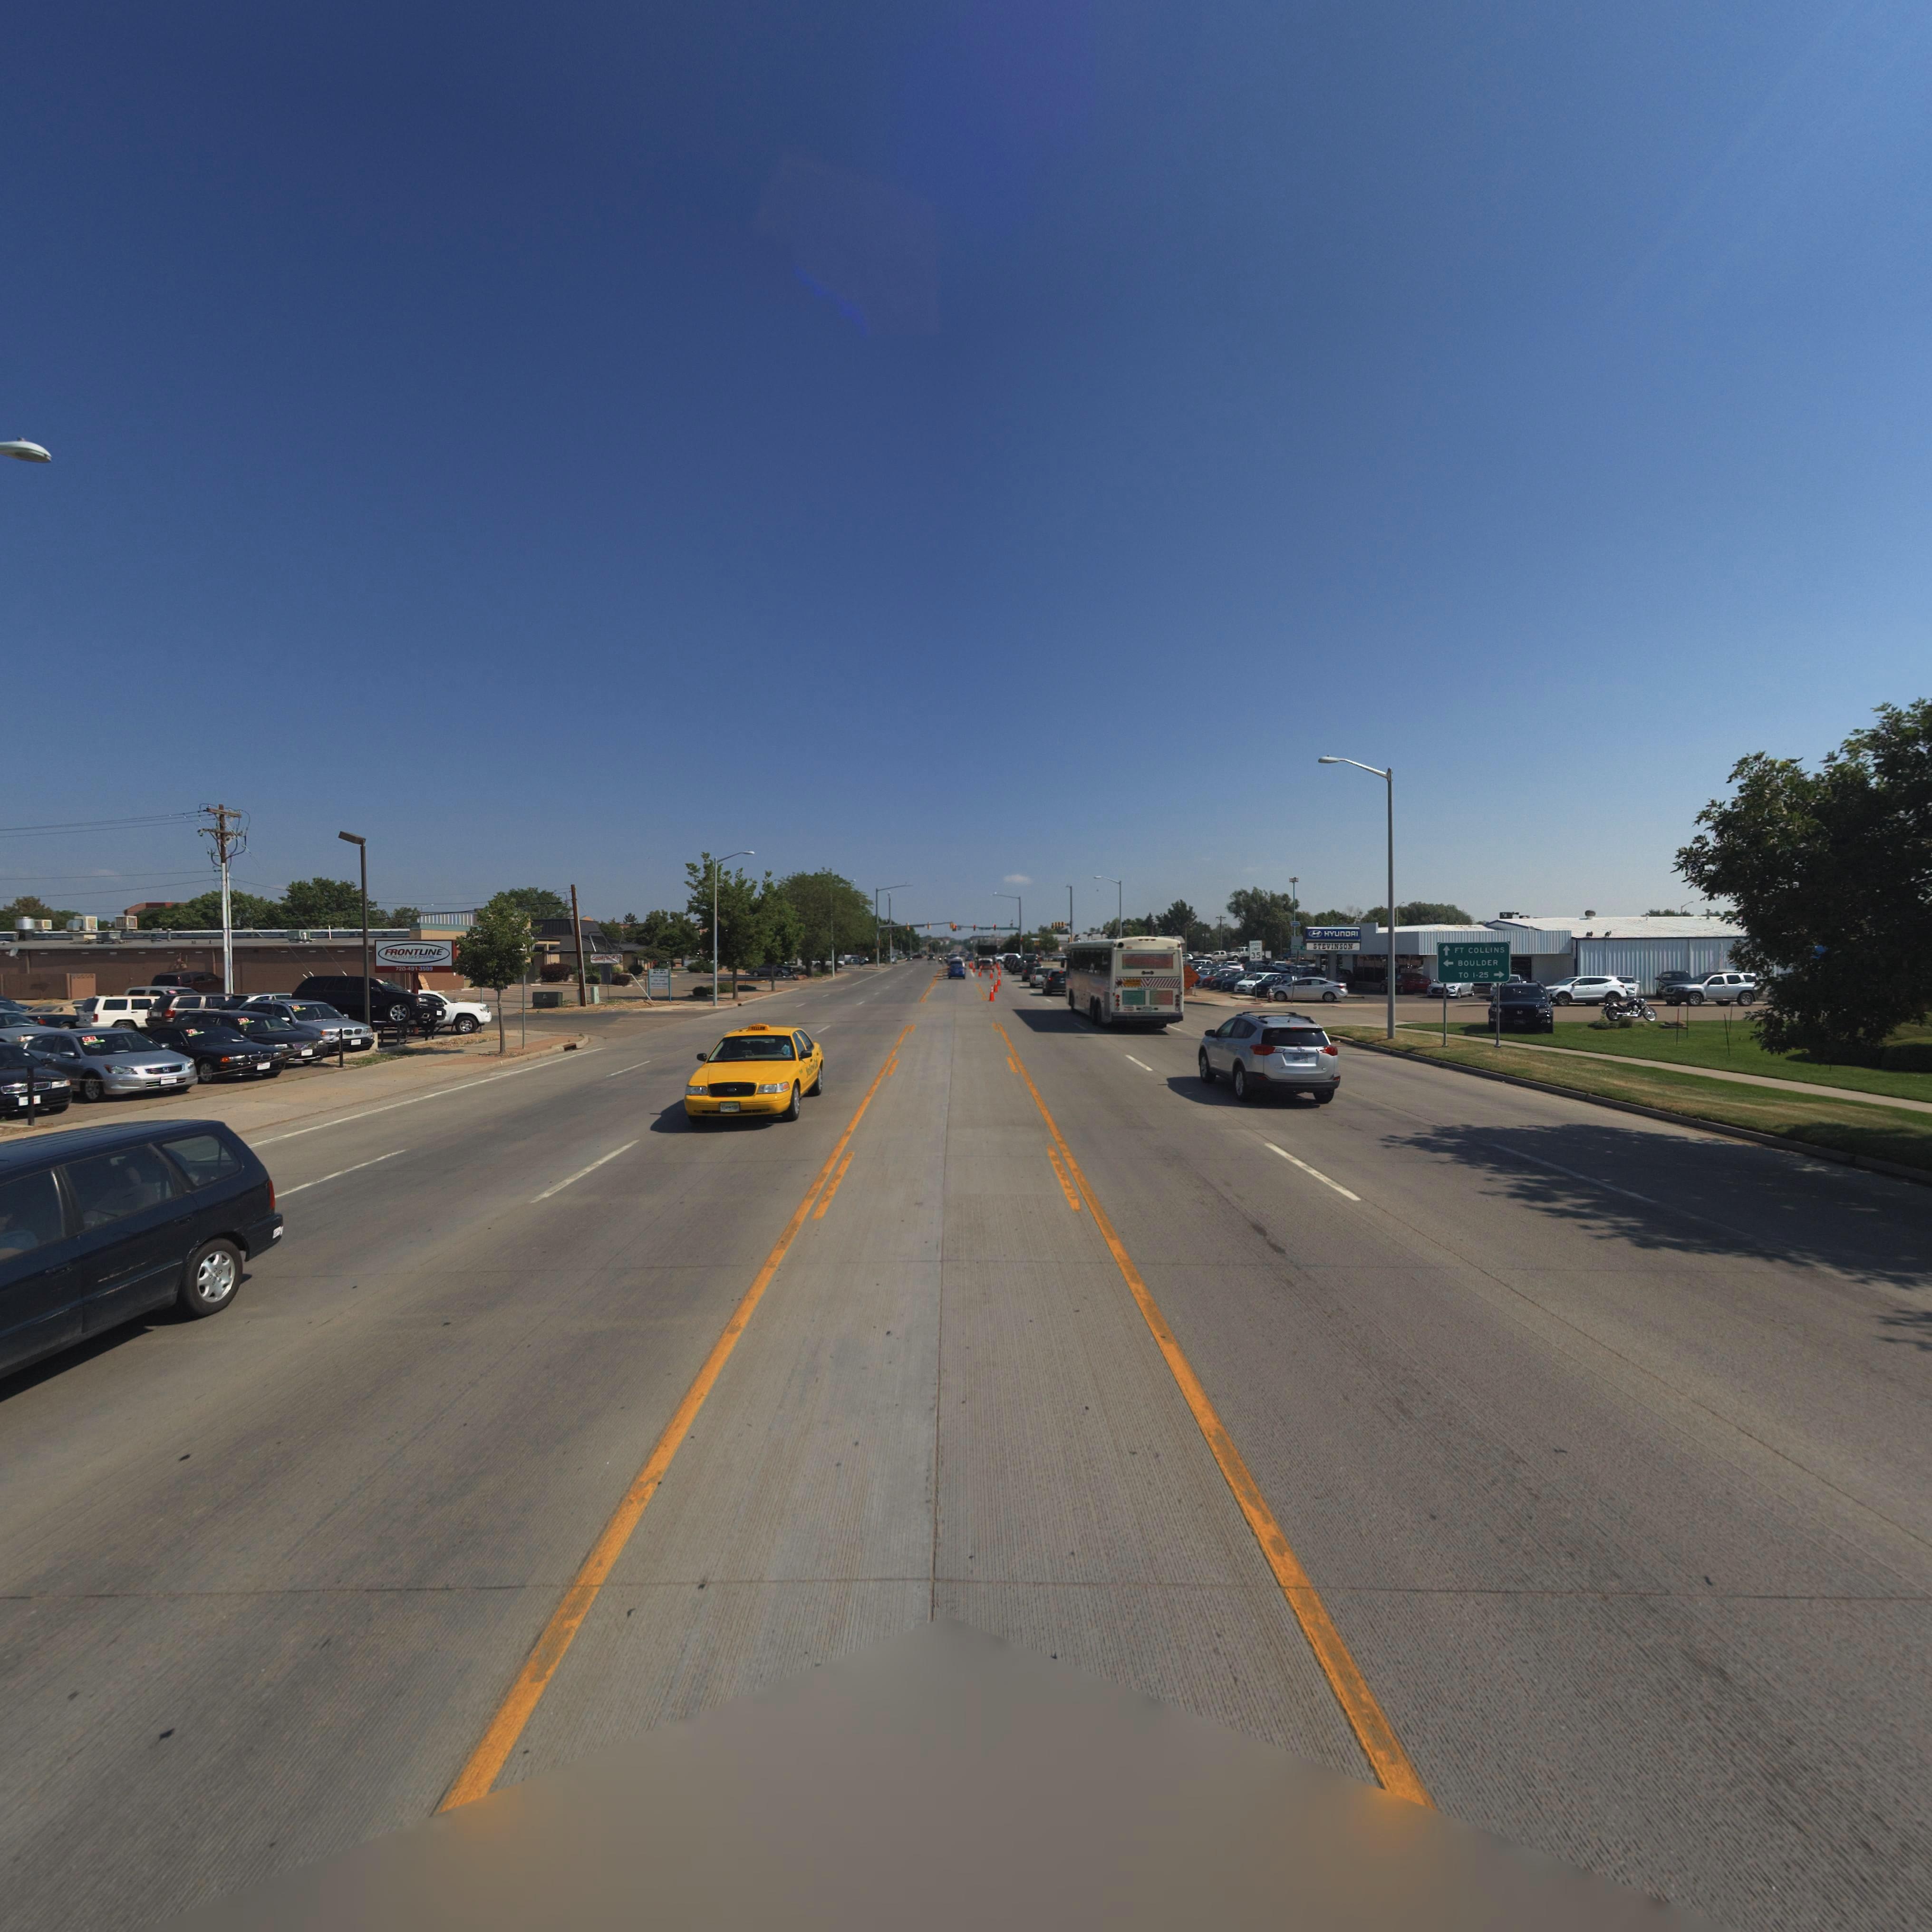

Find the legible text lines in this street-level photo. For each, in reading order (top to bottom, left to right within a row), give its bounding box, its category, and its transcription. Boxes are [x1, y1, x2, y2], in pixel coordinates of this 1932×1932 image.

[1323, 930, 1358, 937] BusinessName: HYUnDAI
[1313, 943, 1352, 949] BusinessName: STEVINSON
[384, 948, 444, 955] BusinessName: FRONTLINE
[390, 955, 435, 959] BusinessName: AUTO BROKERS
[591, 954, 619, 962] BusinessName: Goodfella's